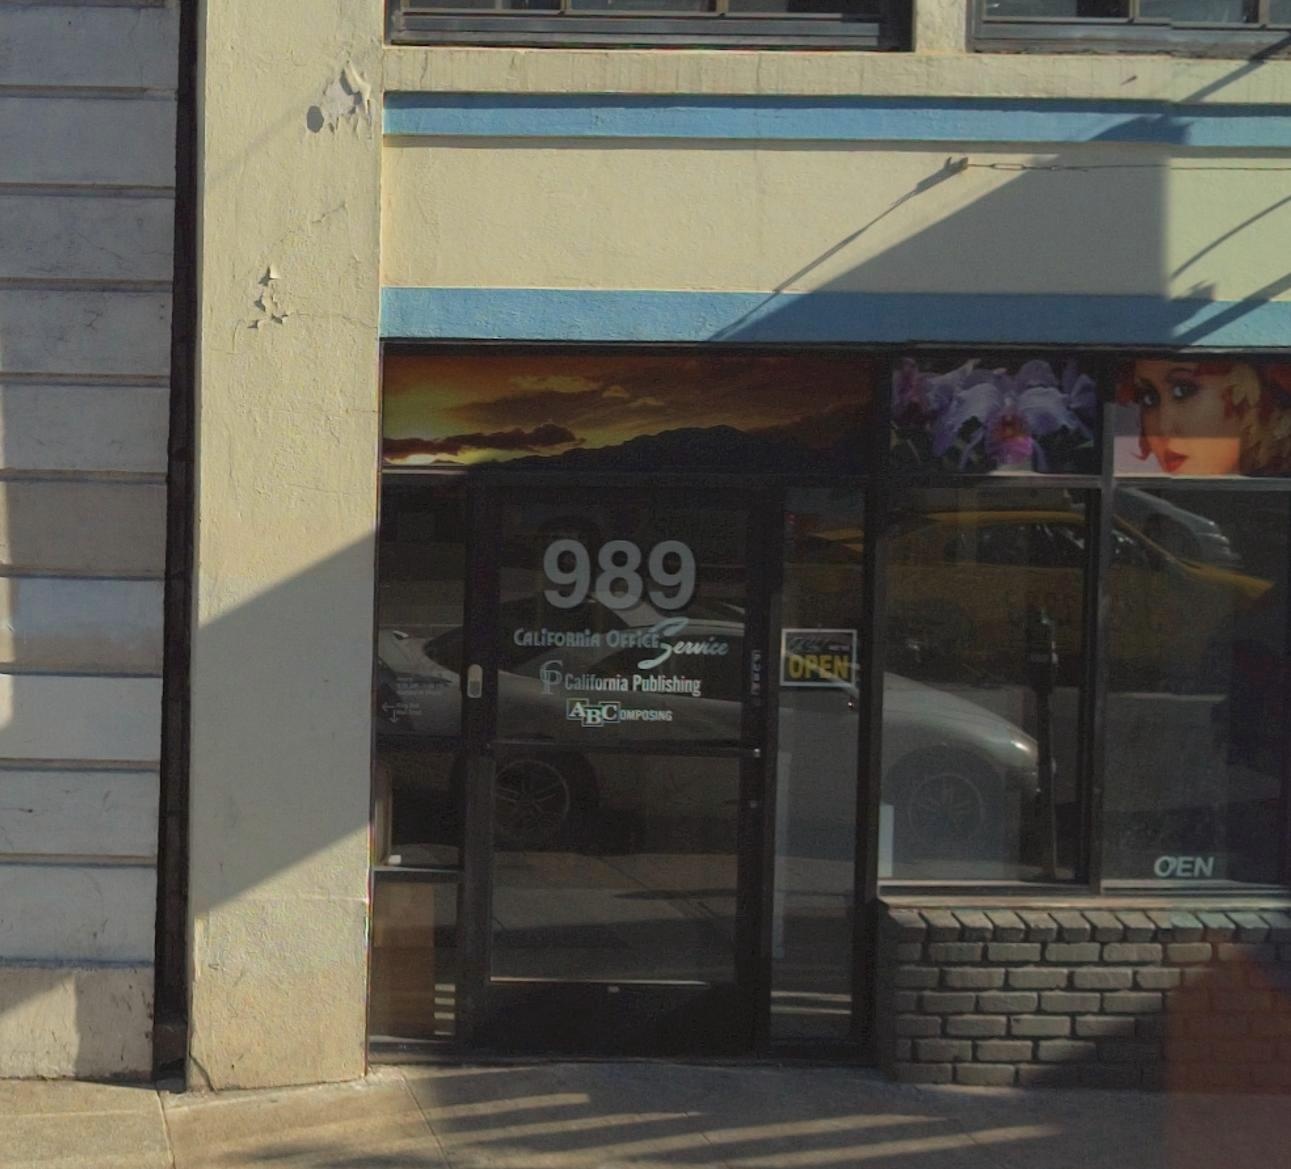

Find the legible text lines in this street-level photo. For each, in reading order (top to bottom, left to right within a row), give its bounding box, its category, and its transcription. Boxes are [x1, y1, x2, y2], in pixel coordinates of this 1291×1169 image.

[541, 536, 698, 611] StreetNumber: 989
[512, 626, 660, 650] BusinessName: CALiFORniA OFFiCE
[670, 634, 731, 656] BusinessName: ervice
[787, 652, 849, 681] None: OPEN
[563, 671, 702, 699] BusinessName: California Publishing
[567, 700, 674, 725] BusinessName: ABCOMPOSING
[1151, 854, 1216, 880] None: OEN